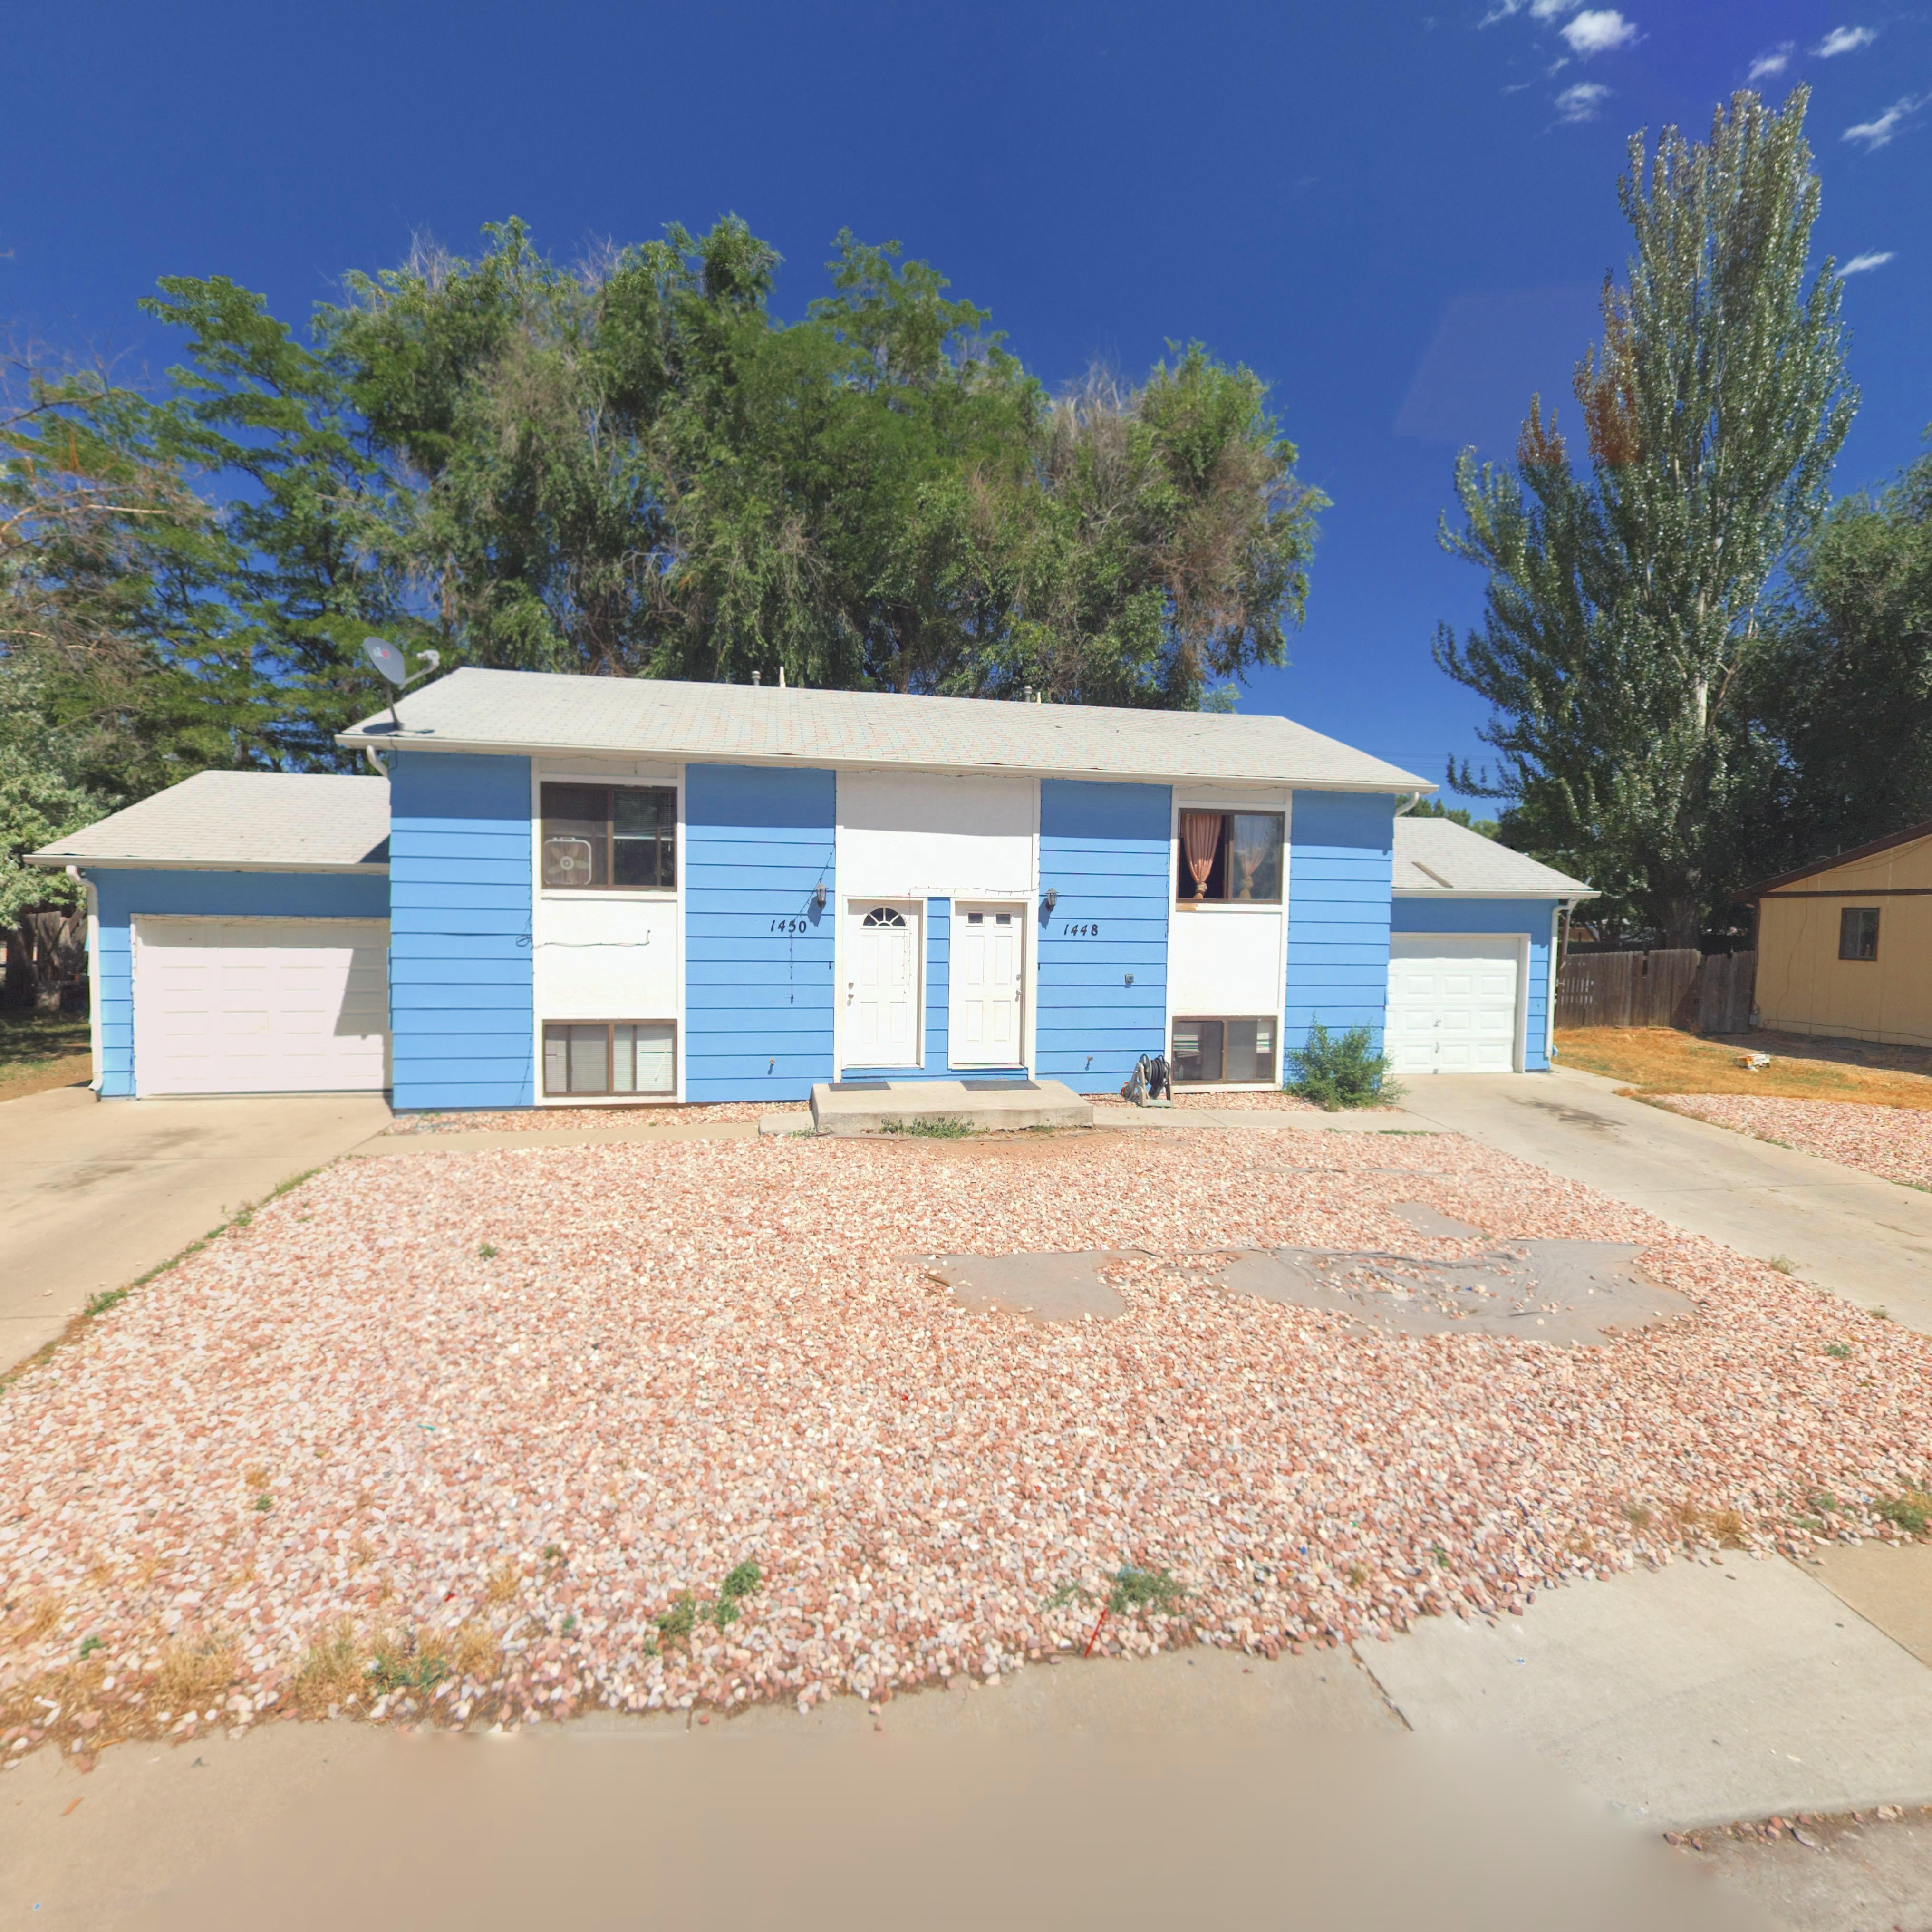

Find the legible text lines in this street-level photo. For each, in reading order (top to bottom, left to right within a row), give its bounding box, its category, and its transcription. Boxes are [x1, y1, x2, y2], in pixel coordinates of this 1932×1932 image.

[770, 919, 807, 933] StreetNumber: 1450
[1063, 923, 1098, 936] StreetNumber: 1448